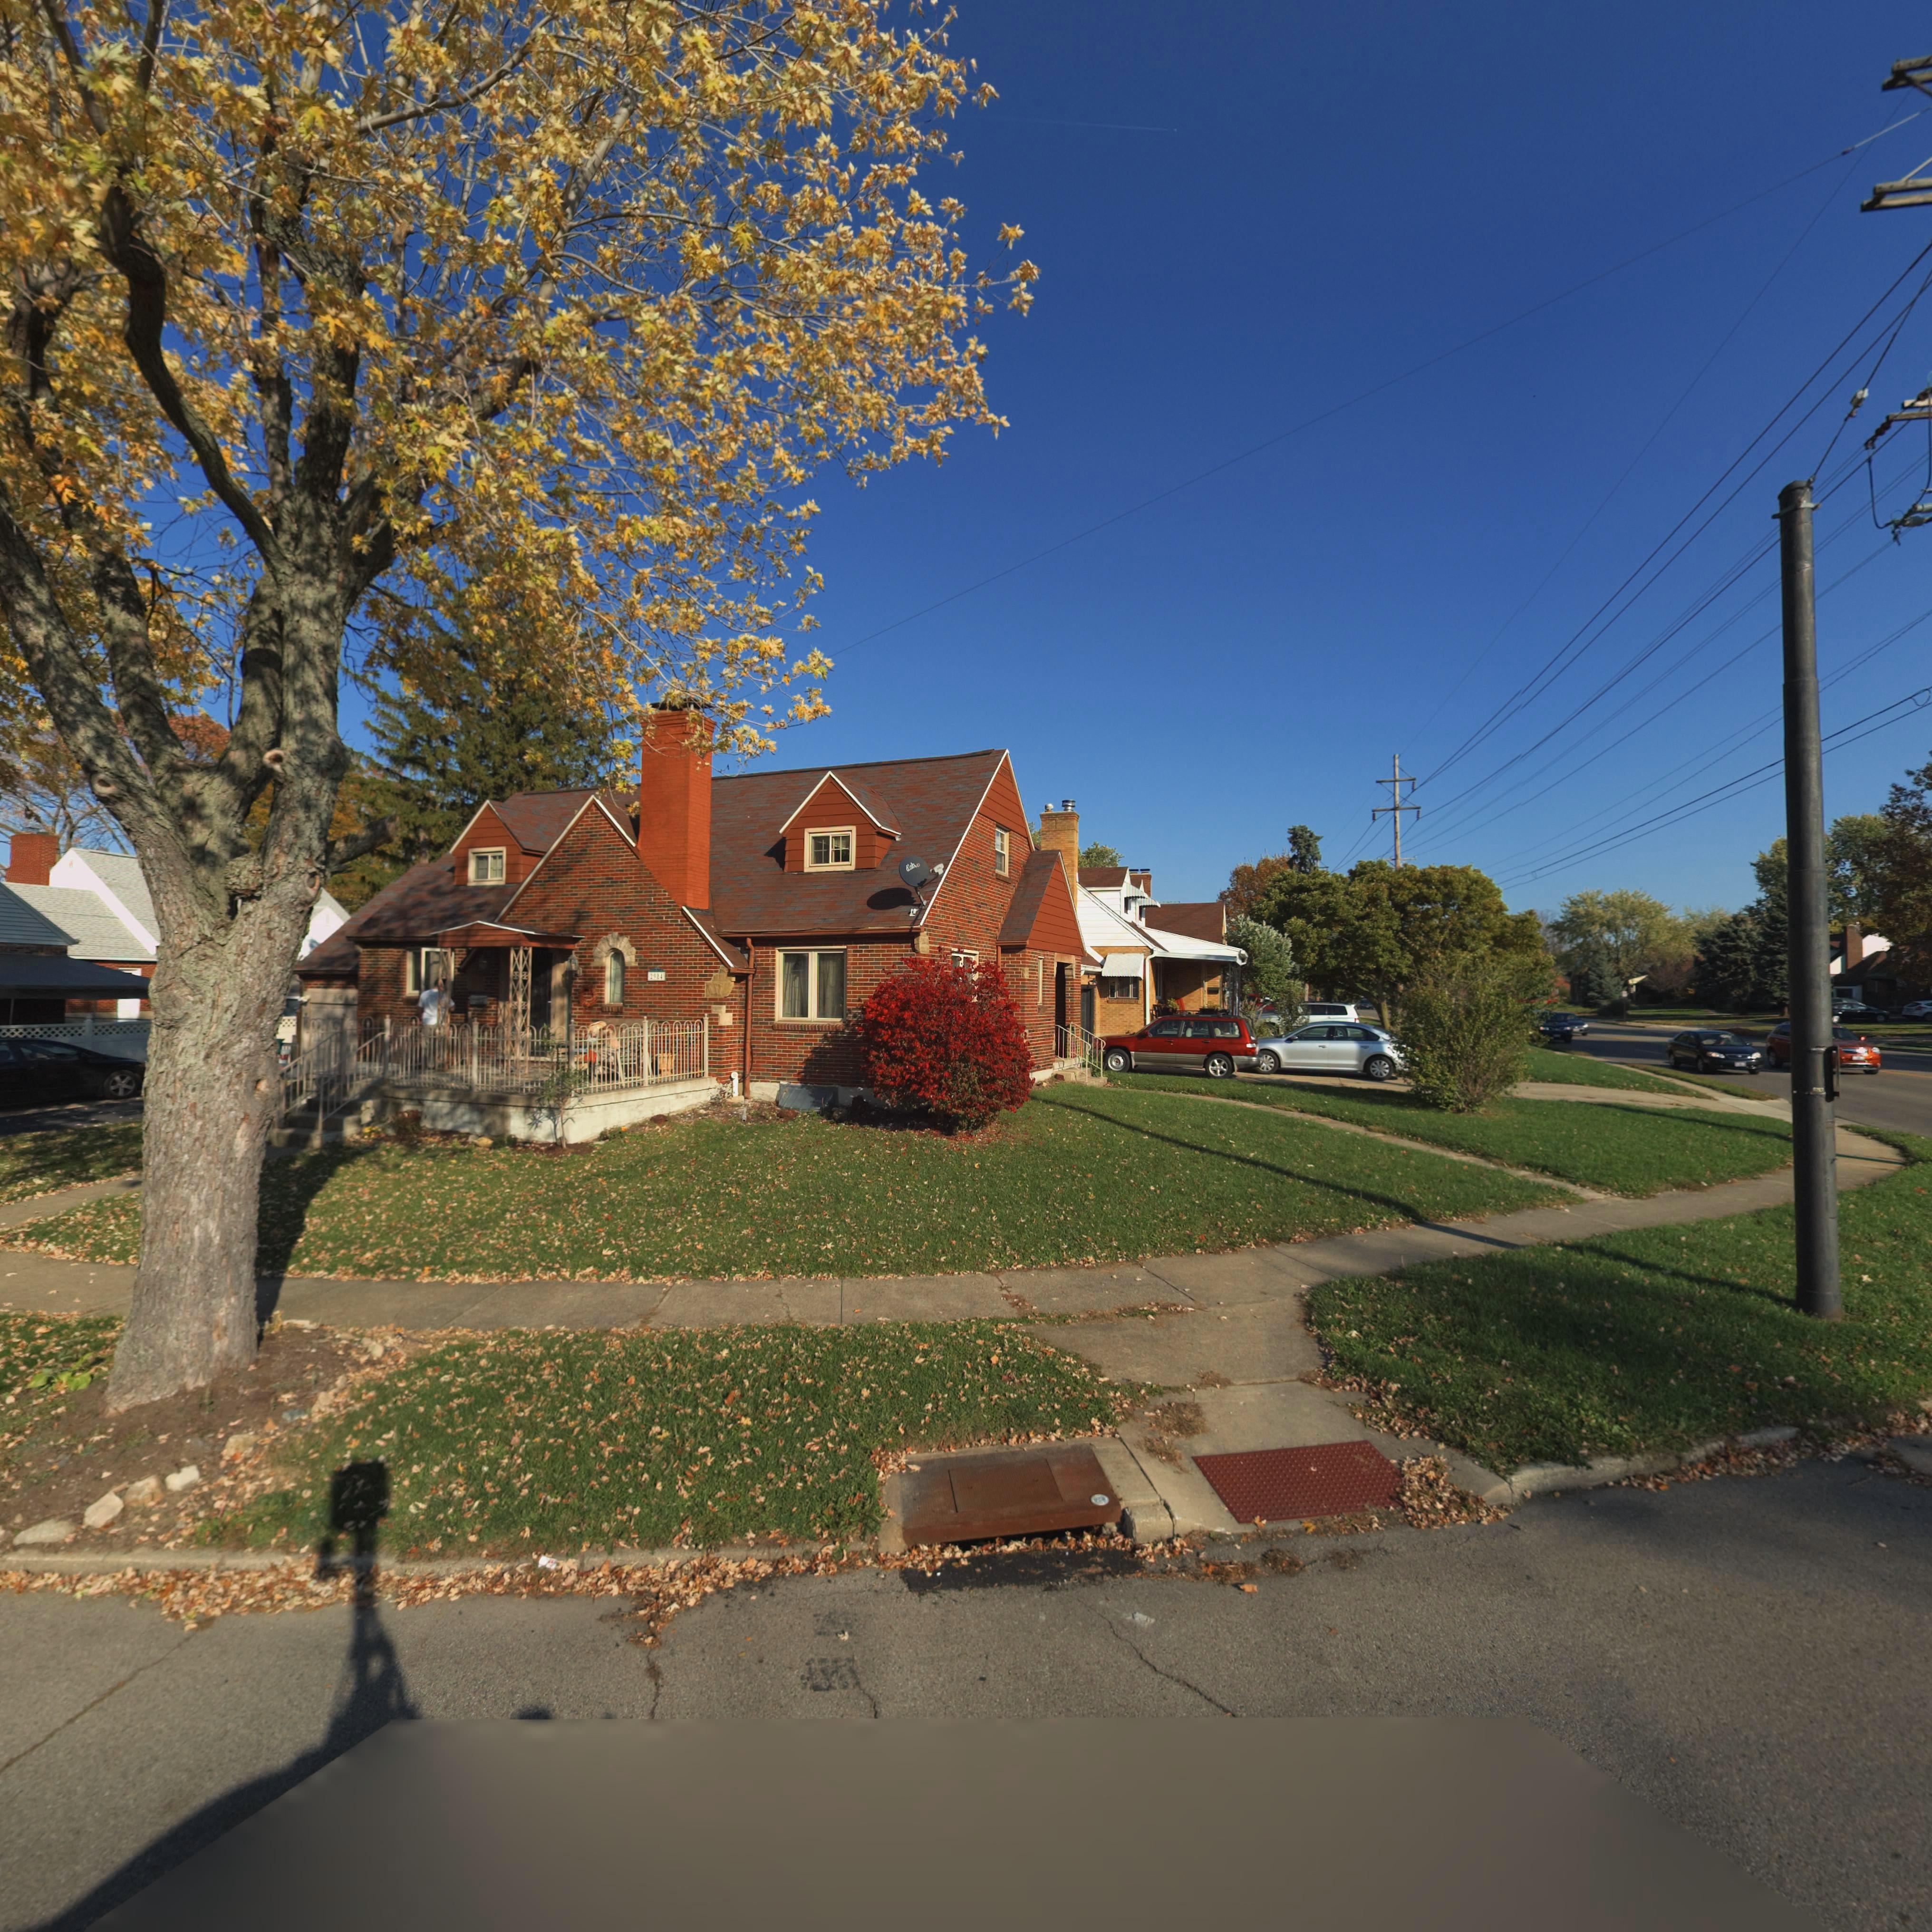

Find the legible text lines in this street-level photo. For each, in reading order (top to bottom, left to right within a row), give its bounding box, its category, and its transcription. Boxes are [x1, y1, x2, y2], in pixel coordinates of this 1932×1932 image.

[905, 861, 918, 872] None: dish
[649, 972, 664, 981] StreetNumber: 29*4
[330, 992, 344, 1003] StreetNumber: 29